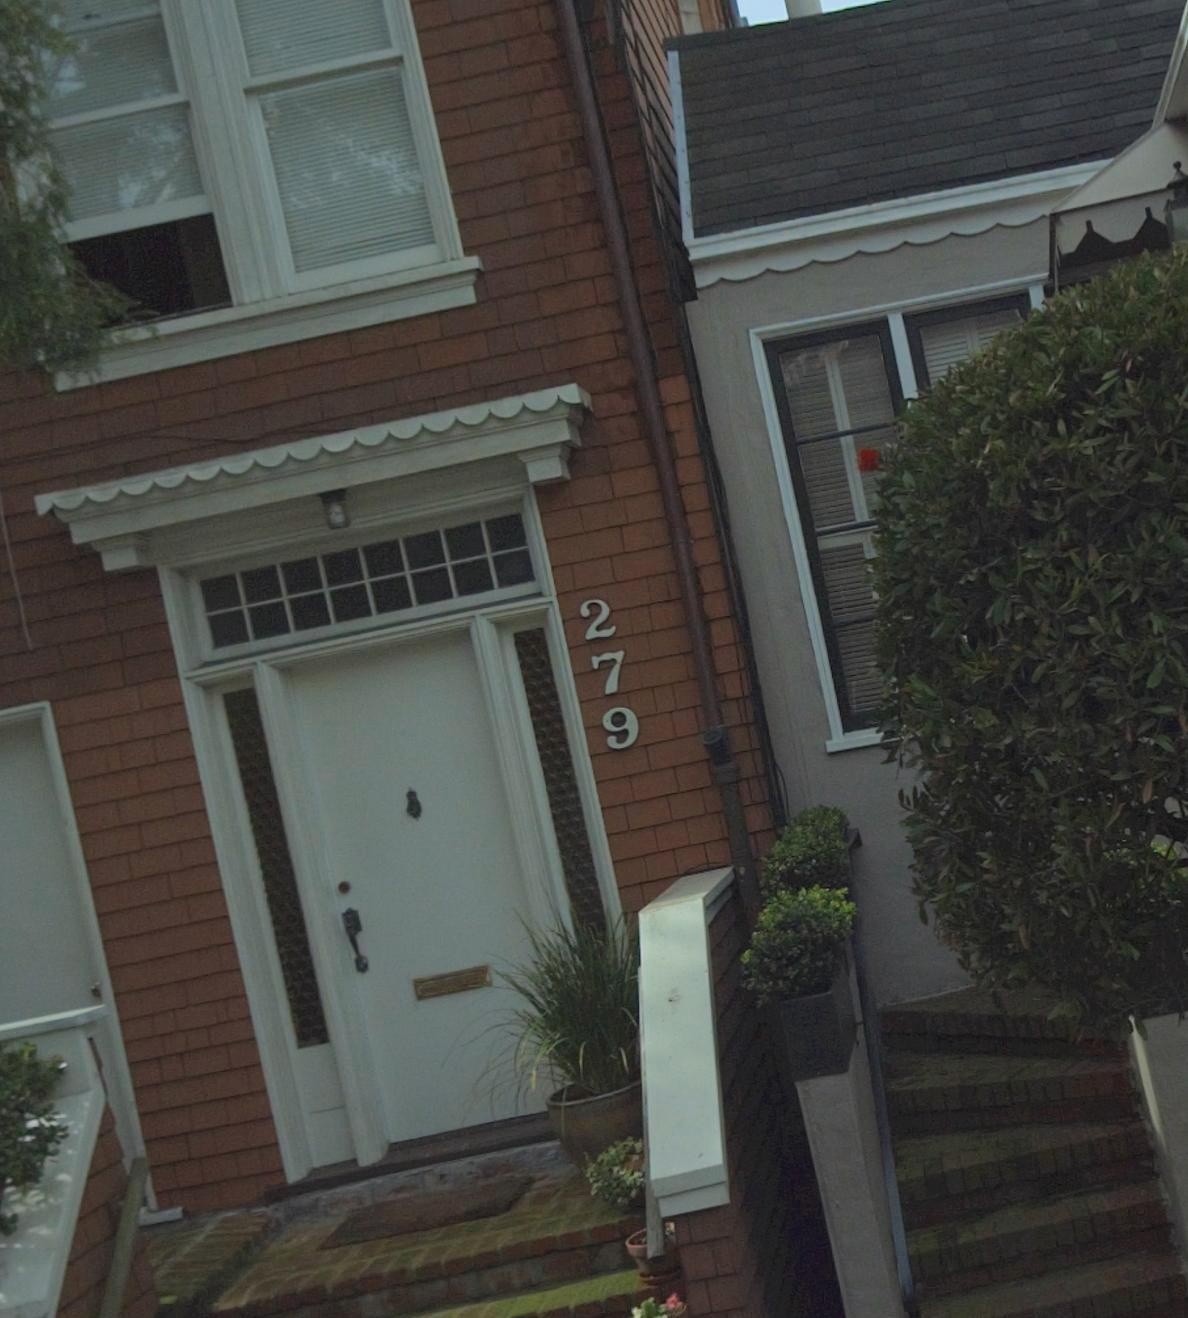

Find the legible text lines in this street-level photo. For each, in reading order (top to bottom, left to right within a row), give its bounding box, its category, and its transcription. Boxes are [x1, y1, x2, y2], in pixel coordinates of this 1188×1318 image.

[575, 595, 642, 755] StreetNumber: 279